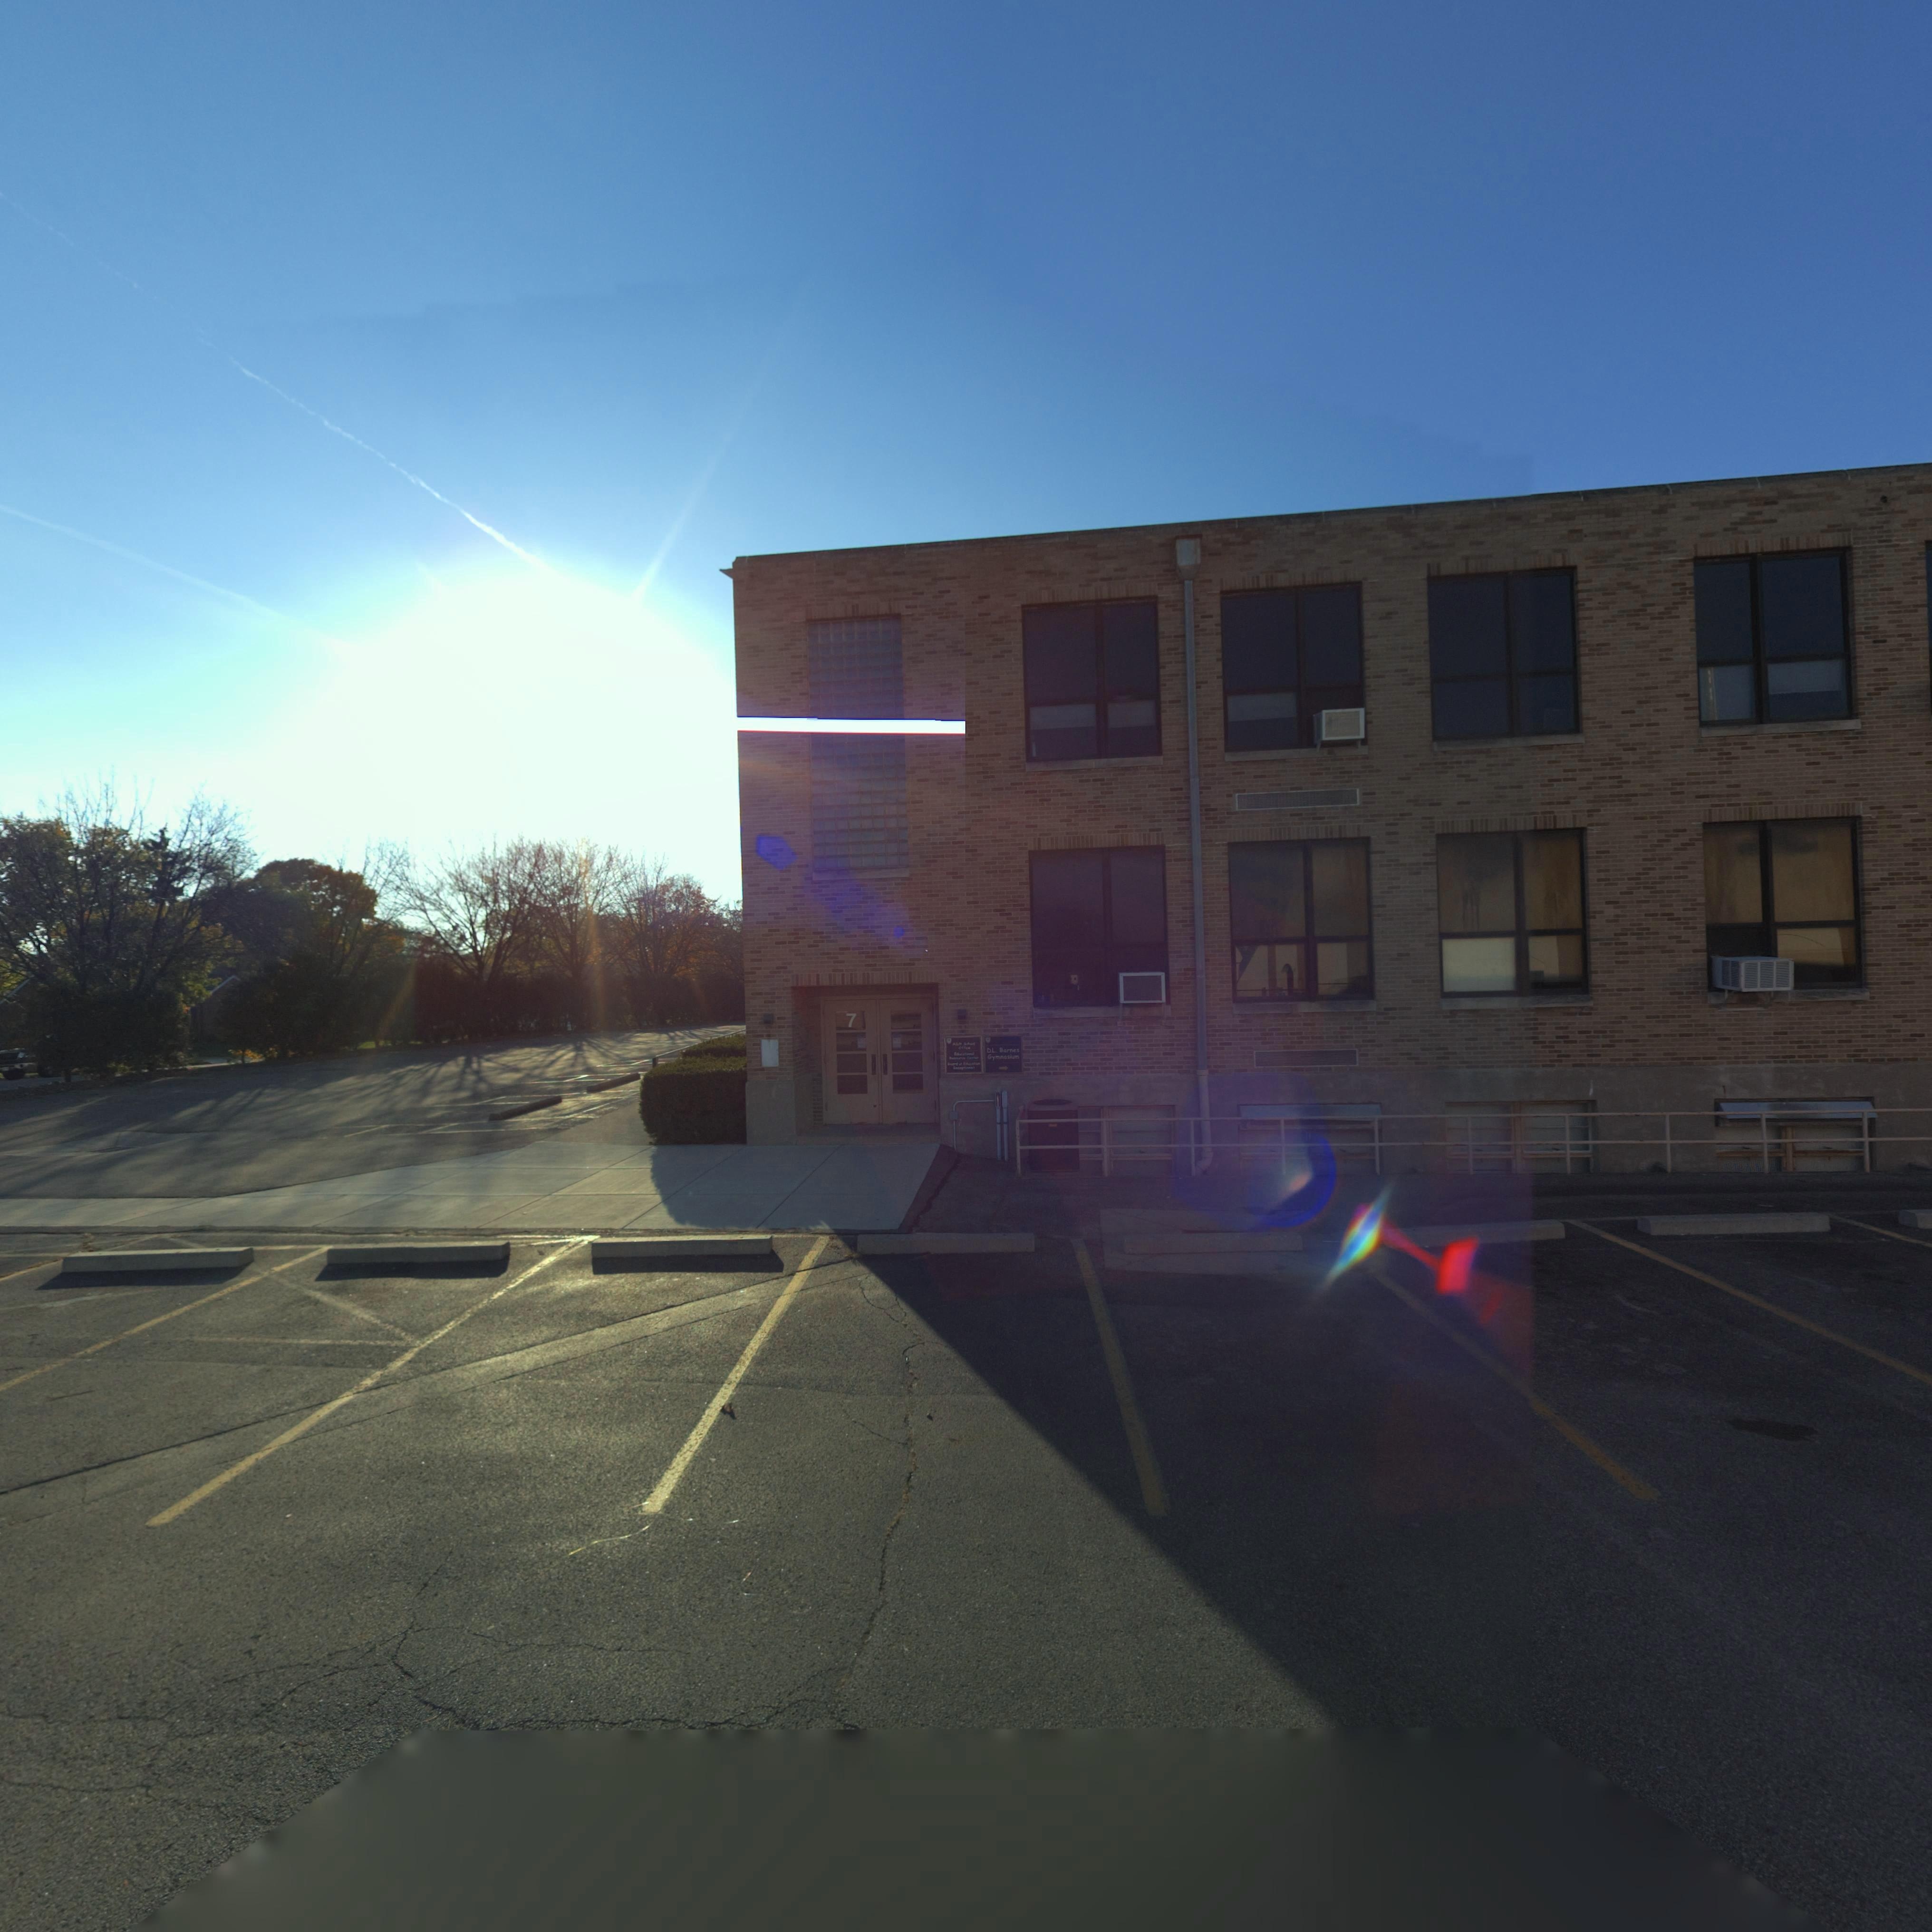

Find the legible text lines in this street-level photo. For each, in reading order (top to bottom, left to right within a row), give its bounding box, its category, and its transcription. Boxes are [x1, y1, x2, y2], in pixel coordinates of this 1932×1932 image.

[845, 1013, 858, 1029] StreetNumber: 7